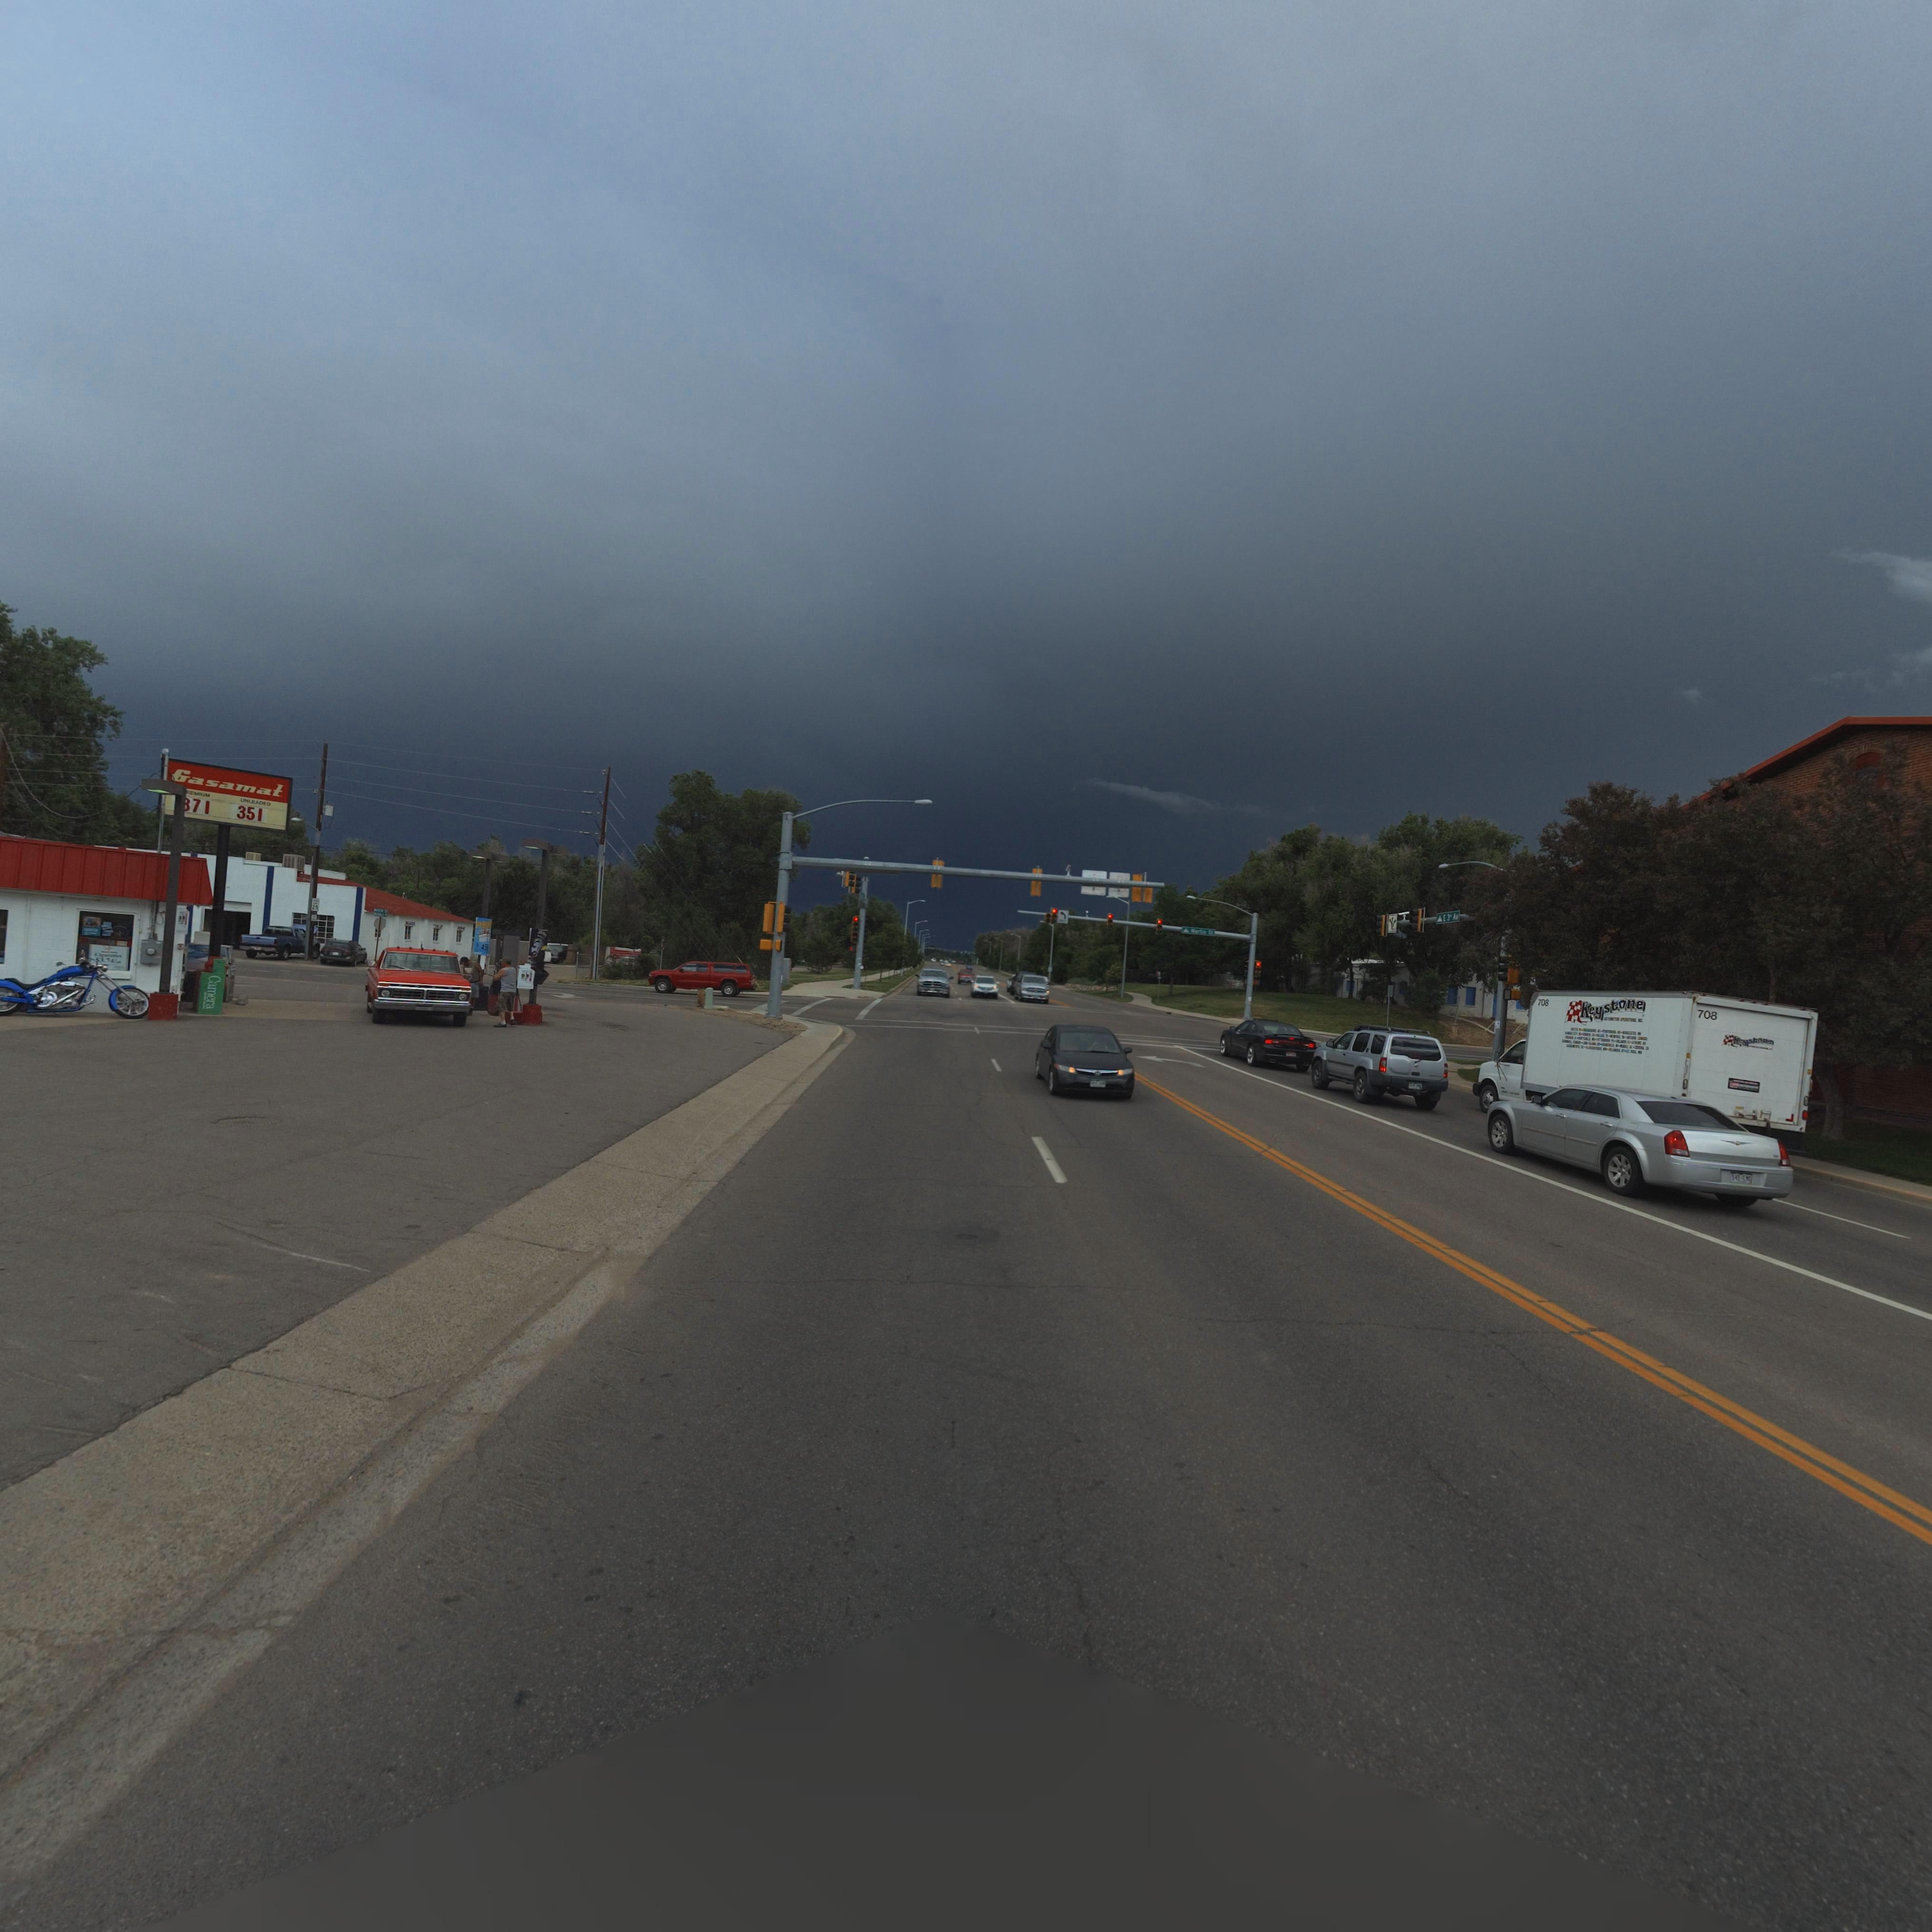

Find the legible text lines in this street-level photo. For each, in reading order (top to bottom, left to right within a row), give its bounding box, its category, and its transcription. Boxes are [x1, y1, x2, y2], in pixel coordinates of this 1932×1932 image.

[171, 768, 284, 797] BusinessName: Gasamat
[1443, 913, 1459, 921] StreetName: E 3rd Av
[1190, 928, 1213, 935] StreetName: Martin St